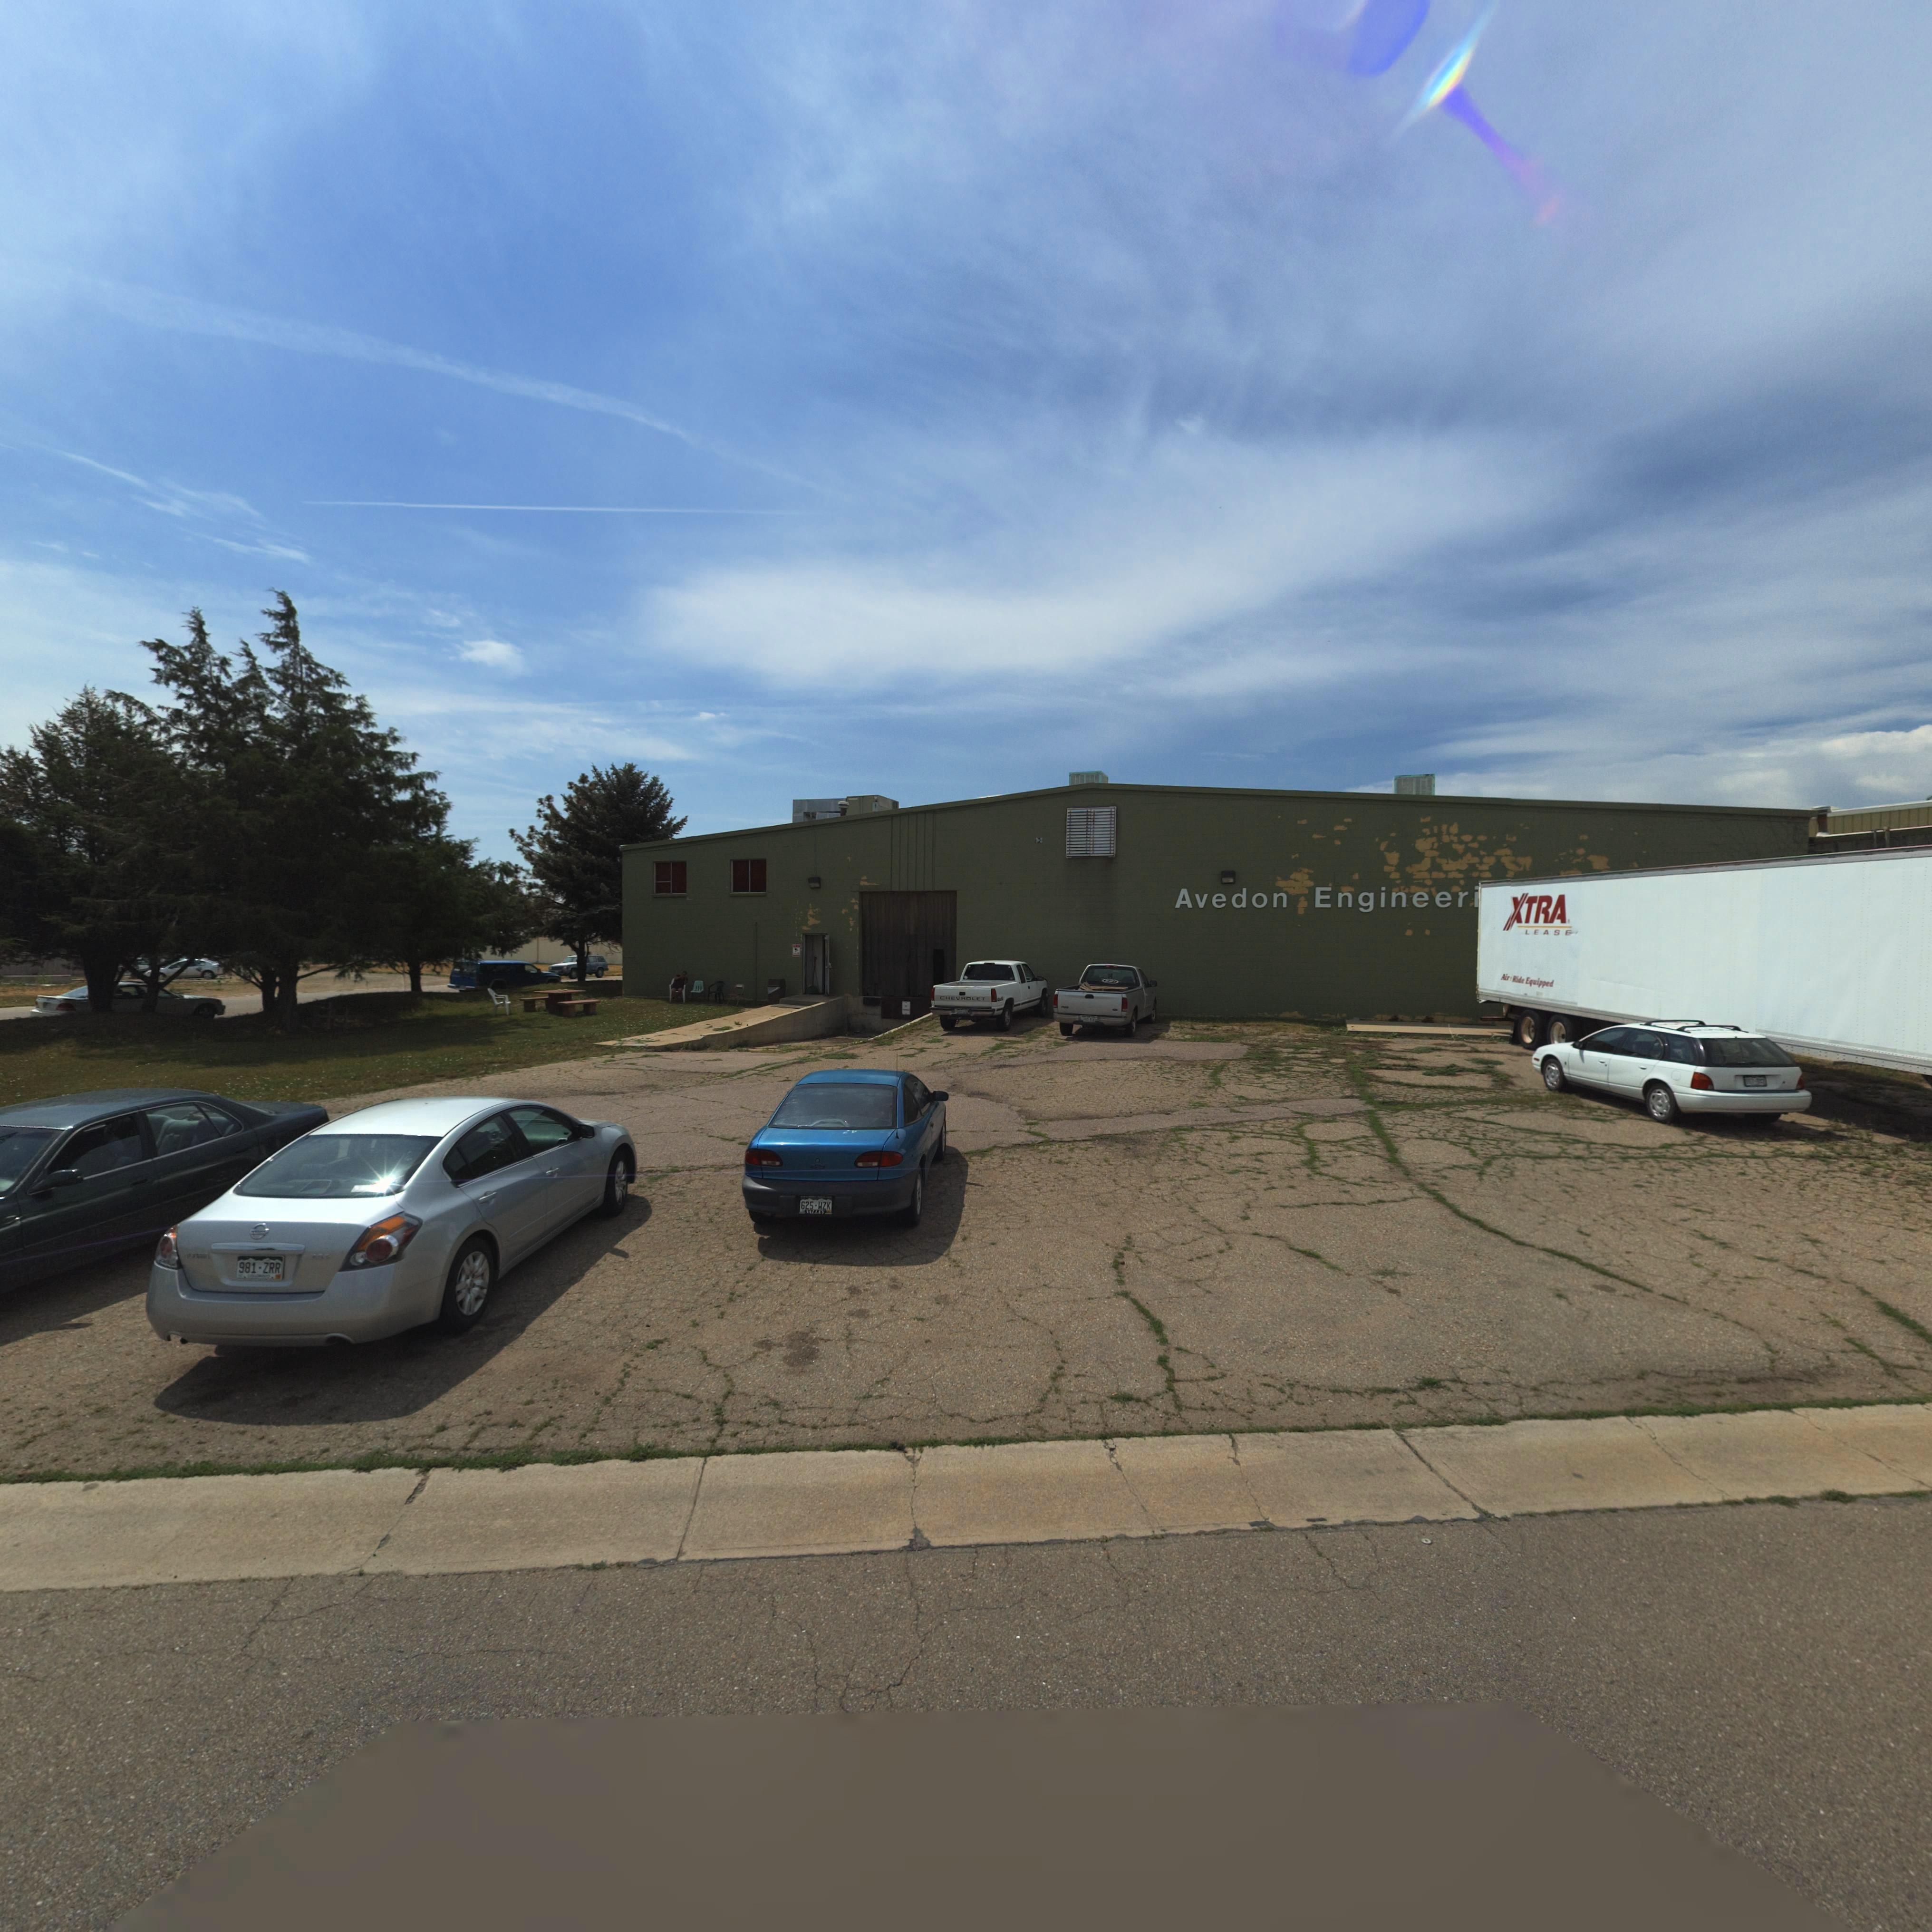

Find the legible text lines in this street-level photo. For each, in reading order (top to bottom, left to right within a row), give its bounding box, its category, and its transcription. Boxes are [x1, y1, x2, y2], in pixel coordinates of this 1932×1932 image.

[1172, 884, 1480, 914] BusinessName: Avedon Engineer*